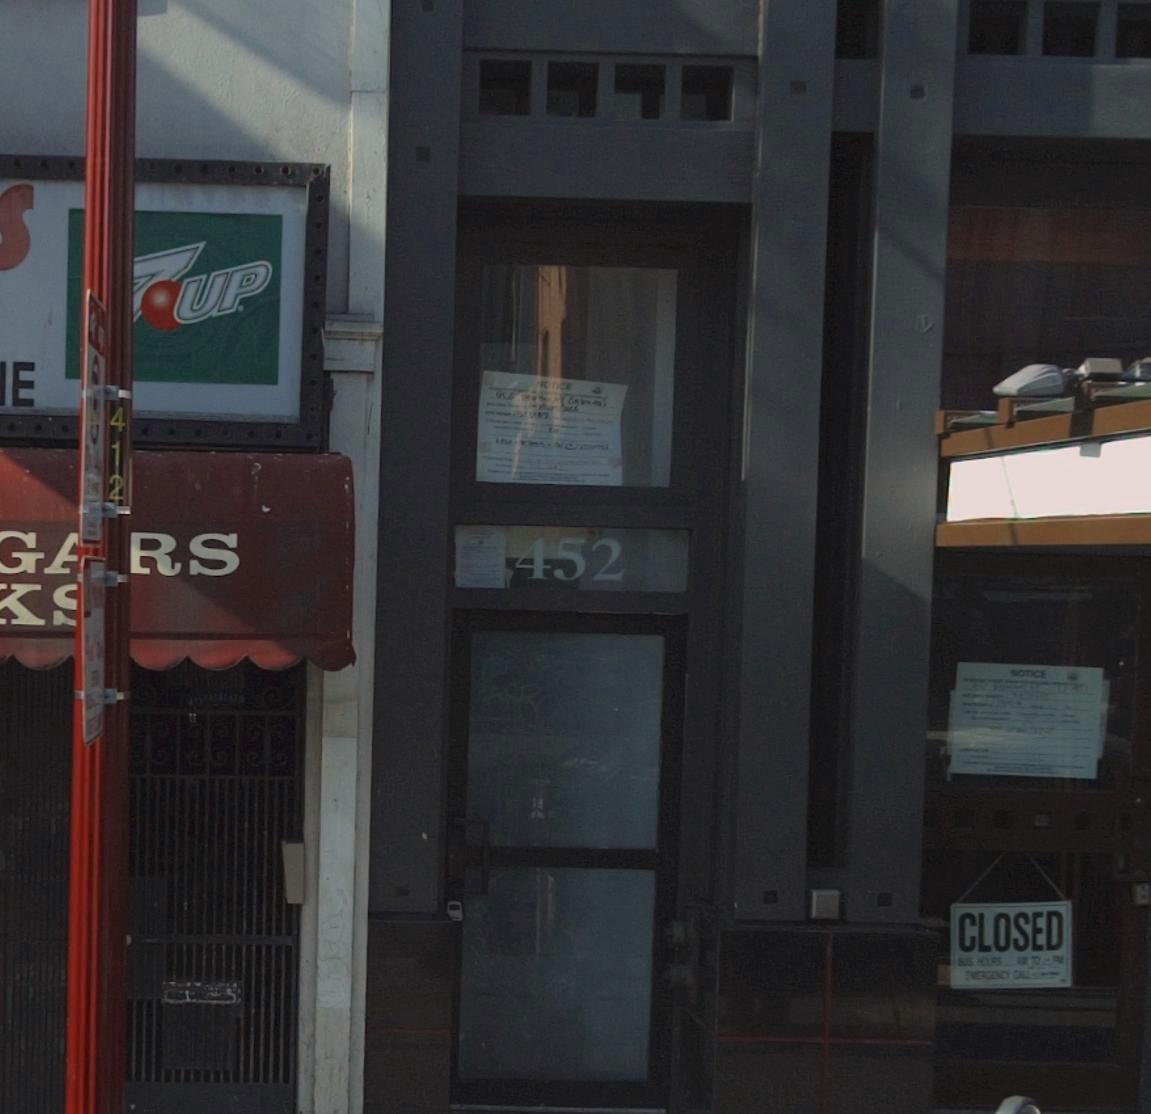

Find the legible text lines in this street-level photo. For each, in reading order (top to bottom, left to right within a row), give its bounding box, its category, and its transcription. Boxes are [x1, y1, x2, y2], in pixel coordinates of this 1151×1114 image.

[170, 257, 275, 328] None: UP
[10, 359, 37, 409] None: E
[541, 379, 572, 392] None: OTICE
[107, 403, 127, 503] None: 412
[129, 529, 241, 578] None: RS
[511, 533, 628, 584] StreetNumber: 452
[1009, 665, 1047, 680] None: NOTICE
[958, 908, 1064, 953] None: CLOSED
[955, 954, 1003, 968] None: BUS HOURS
[1012, 968, 1032, 981] None: CALL
[1016, 953, 1066, 967] None: AM TO * PM